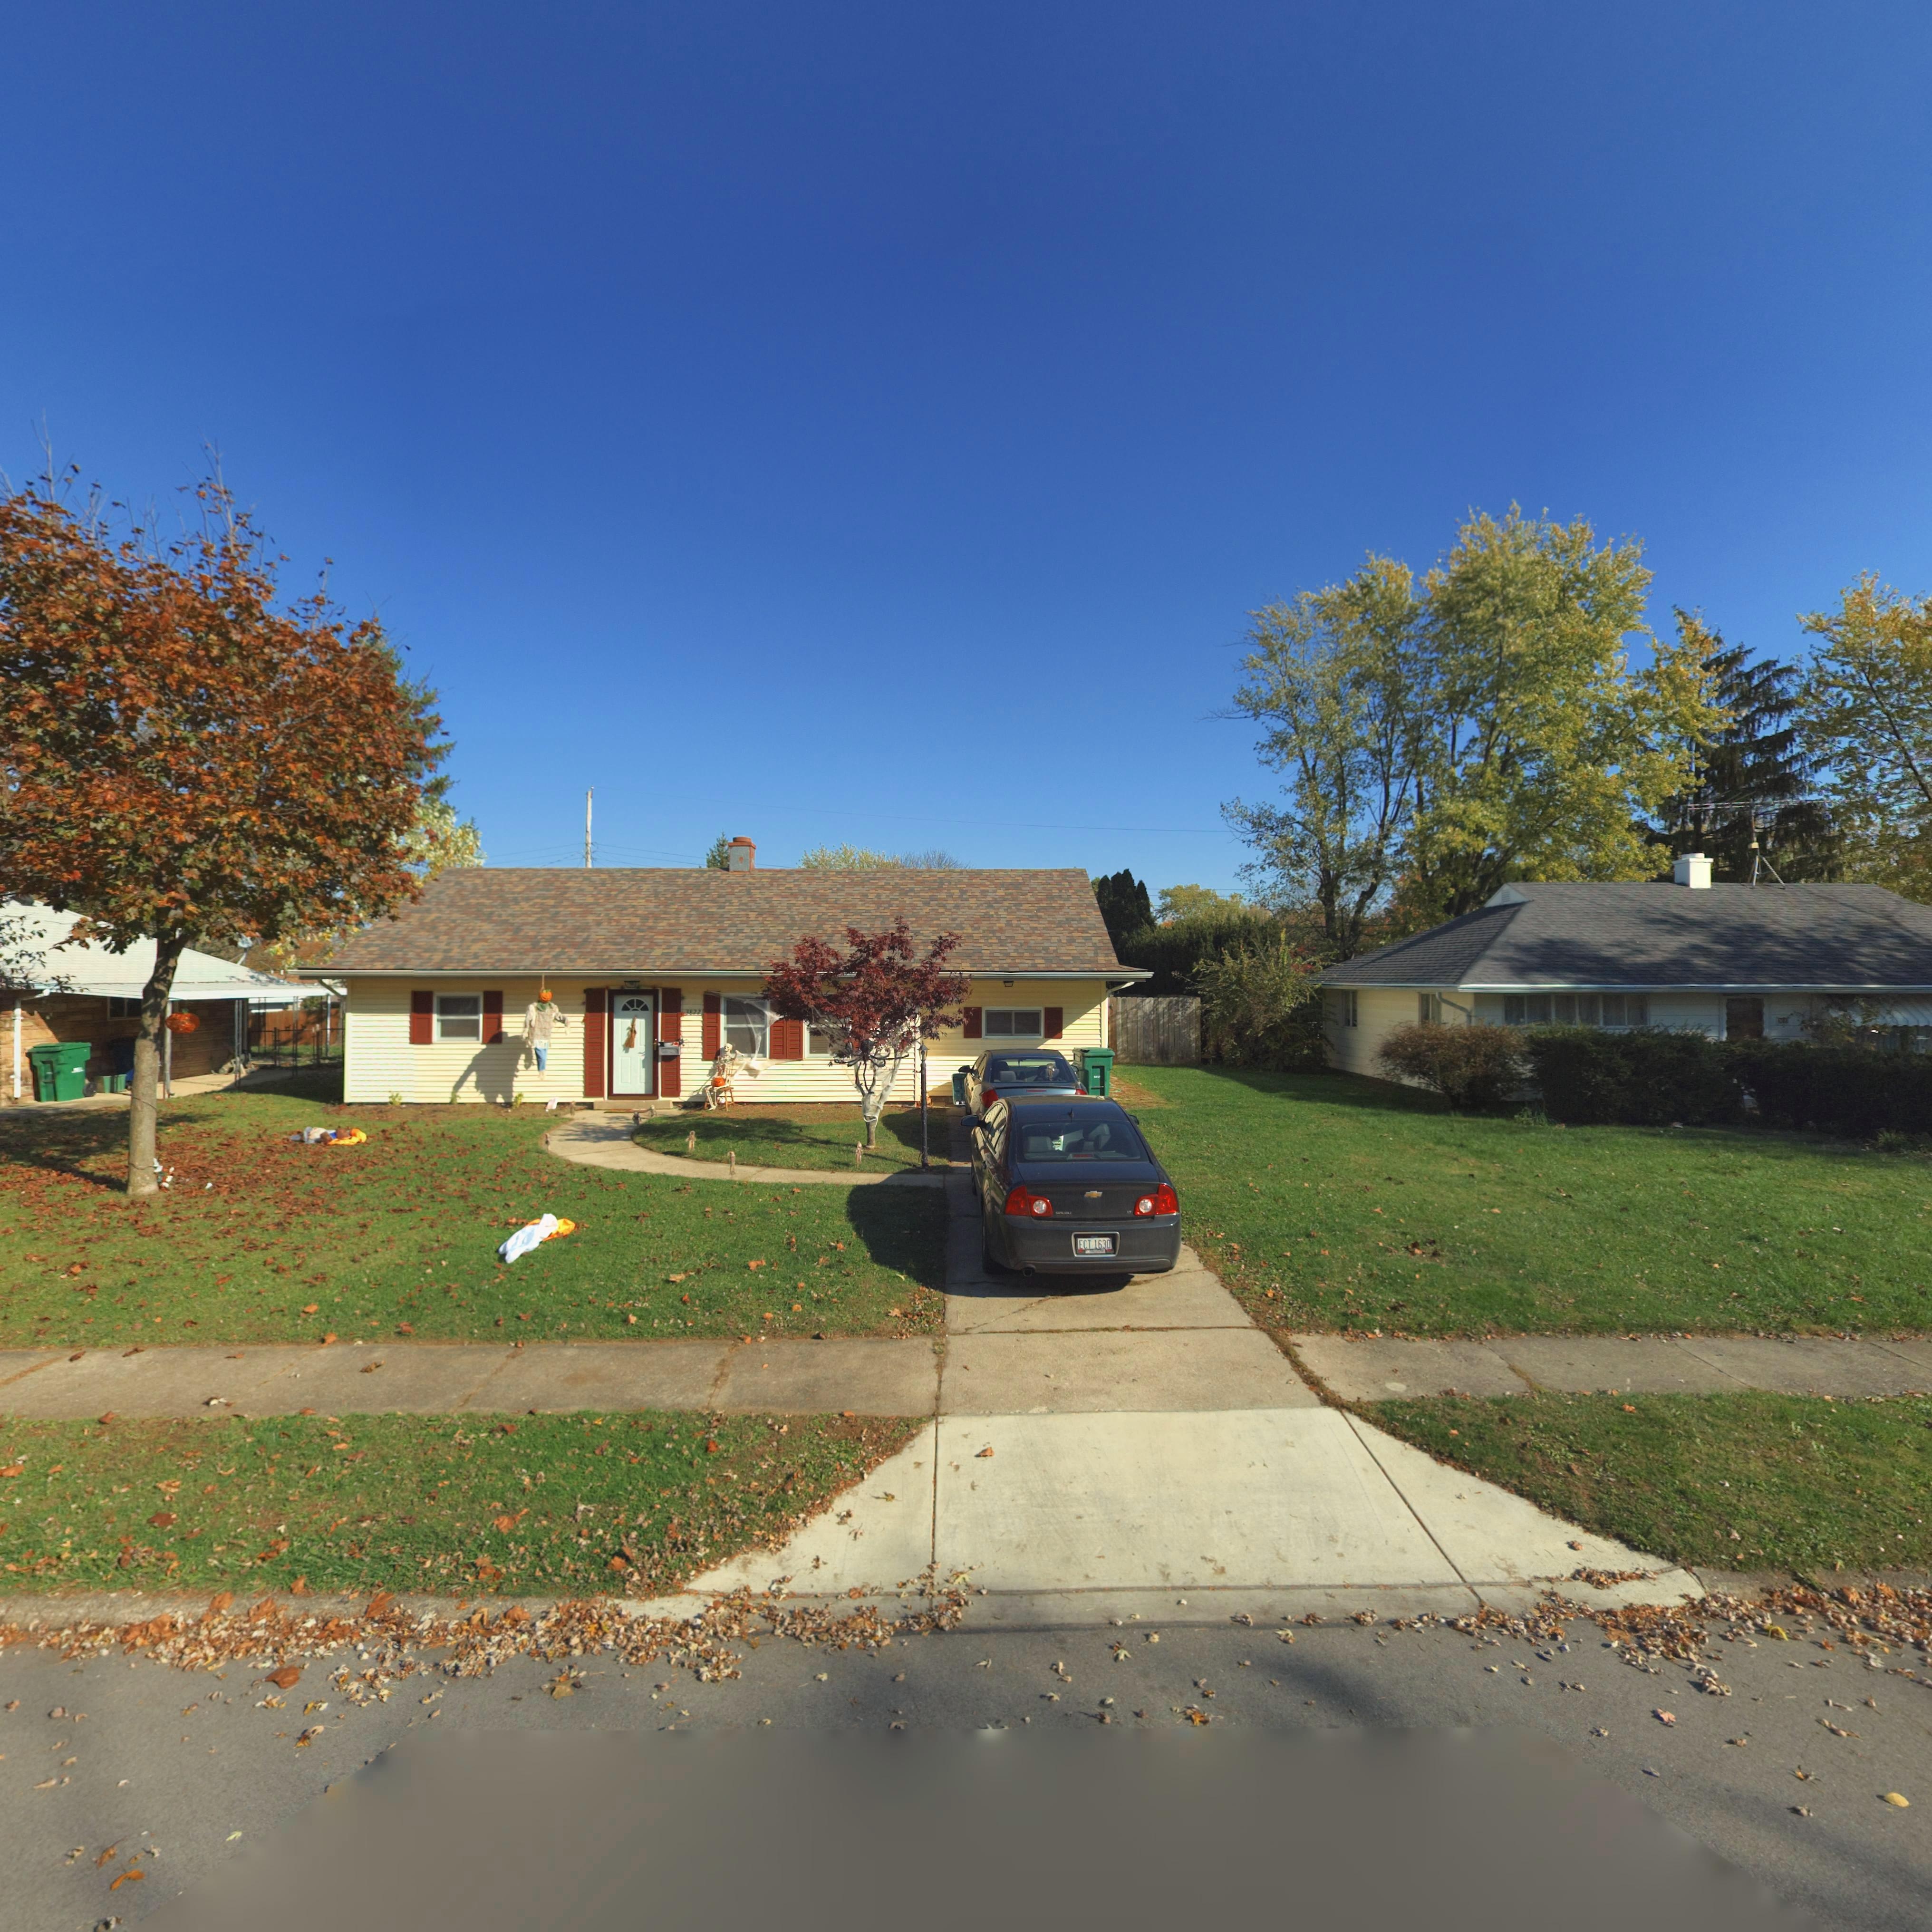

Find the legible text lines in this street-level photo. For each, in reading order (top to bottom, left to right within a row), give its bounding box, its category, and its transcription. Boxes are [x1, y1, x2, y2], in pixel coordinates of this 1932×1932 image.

[685, 1009, 701, 1015] StreetNumber: 3822
[1078, 1239, 1111, 1248] None: ECT 1630